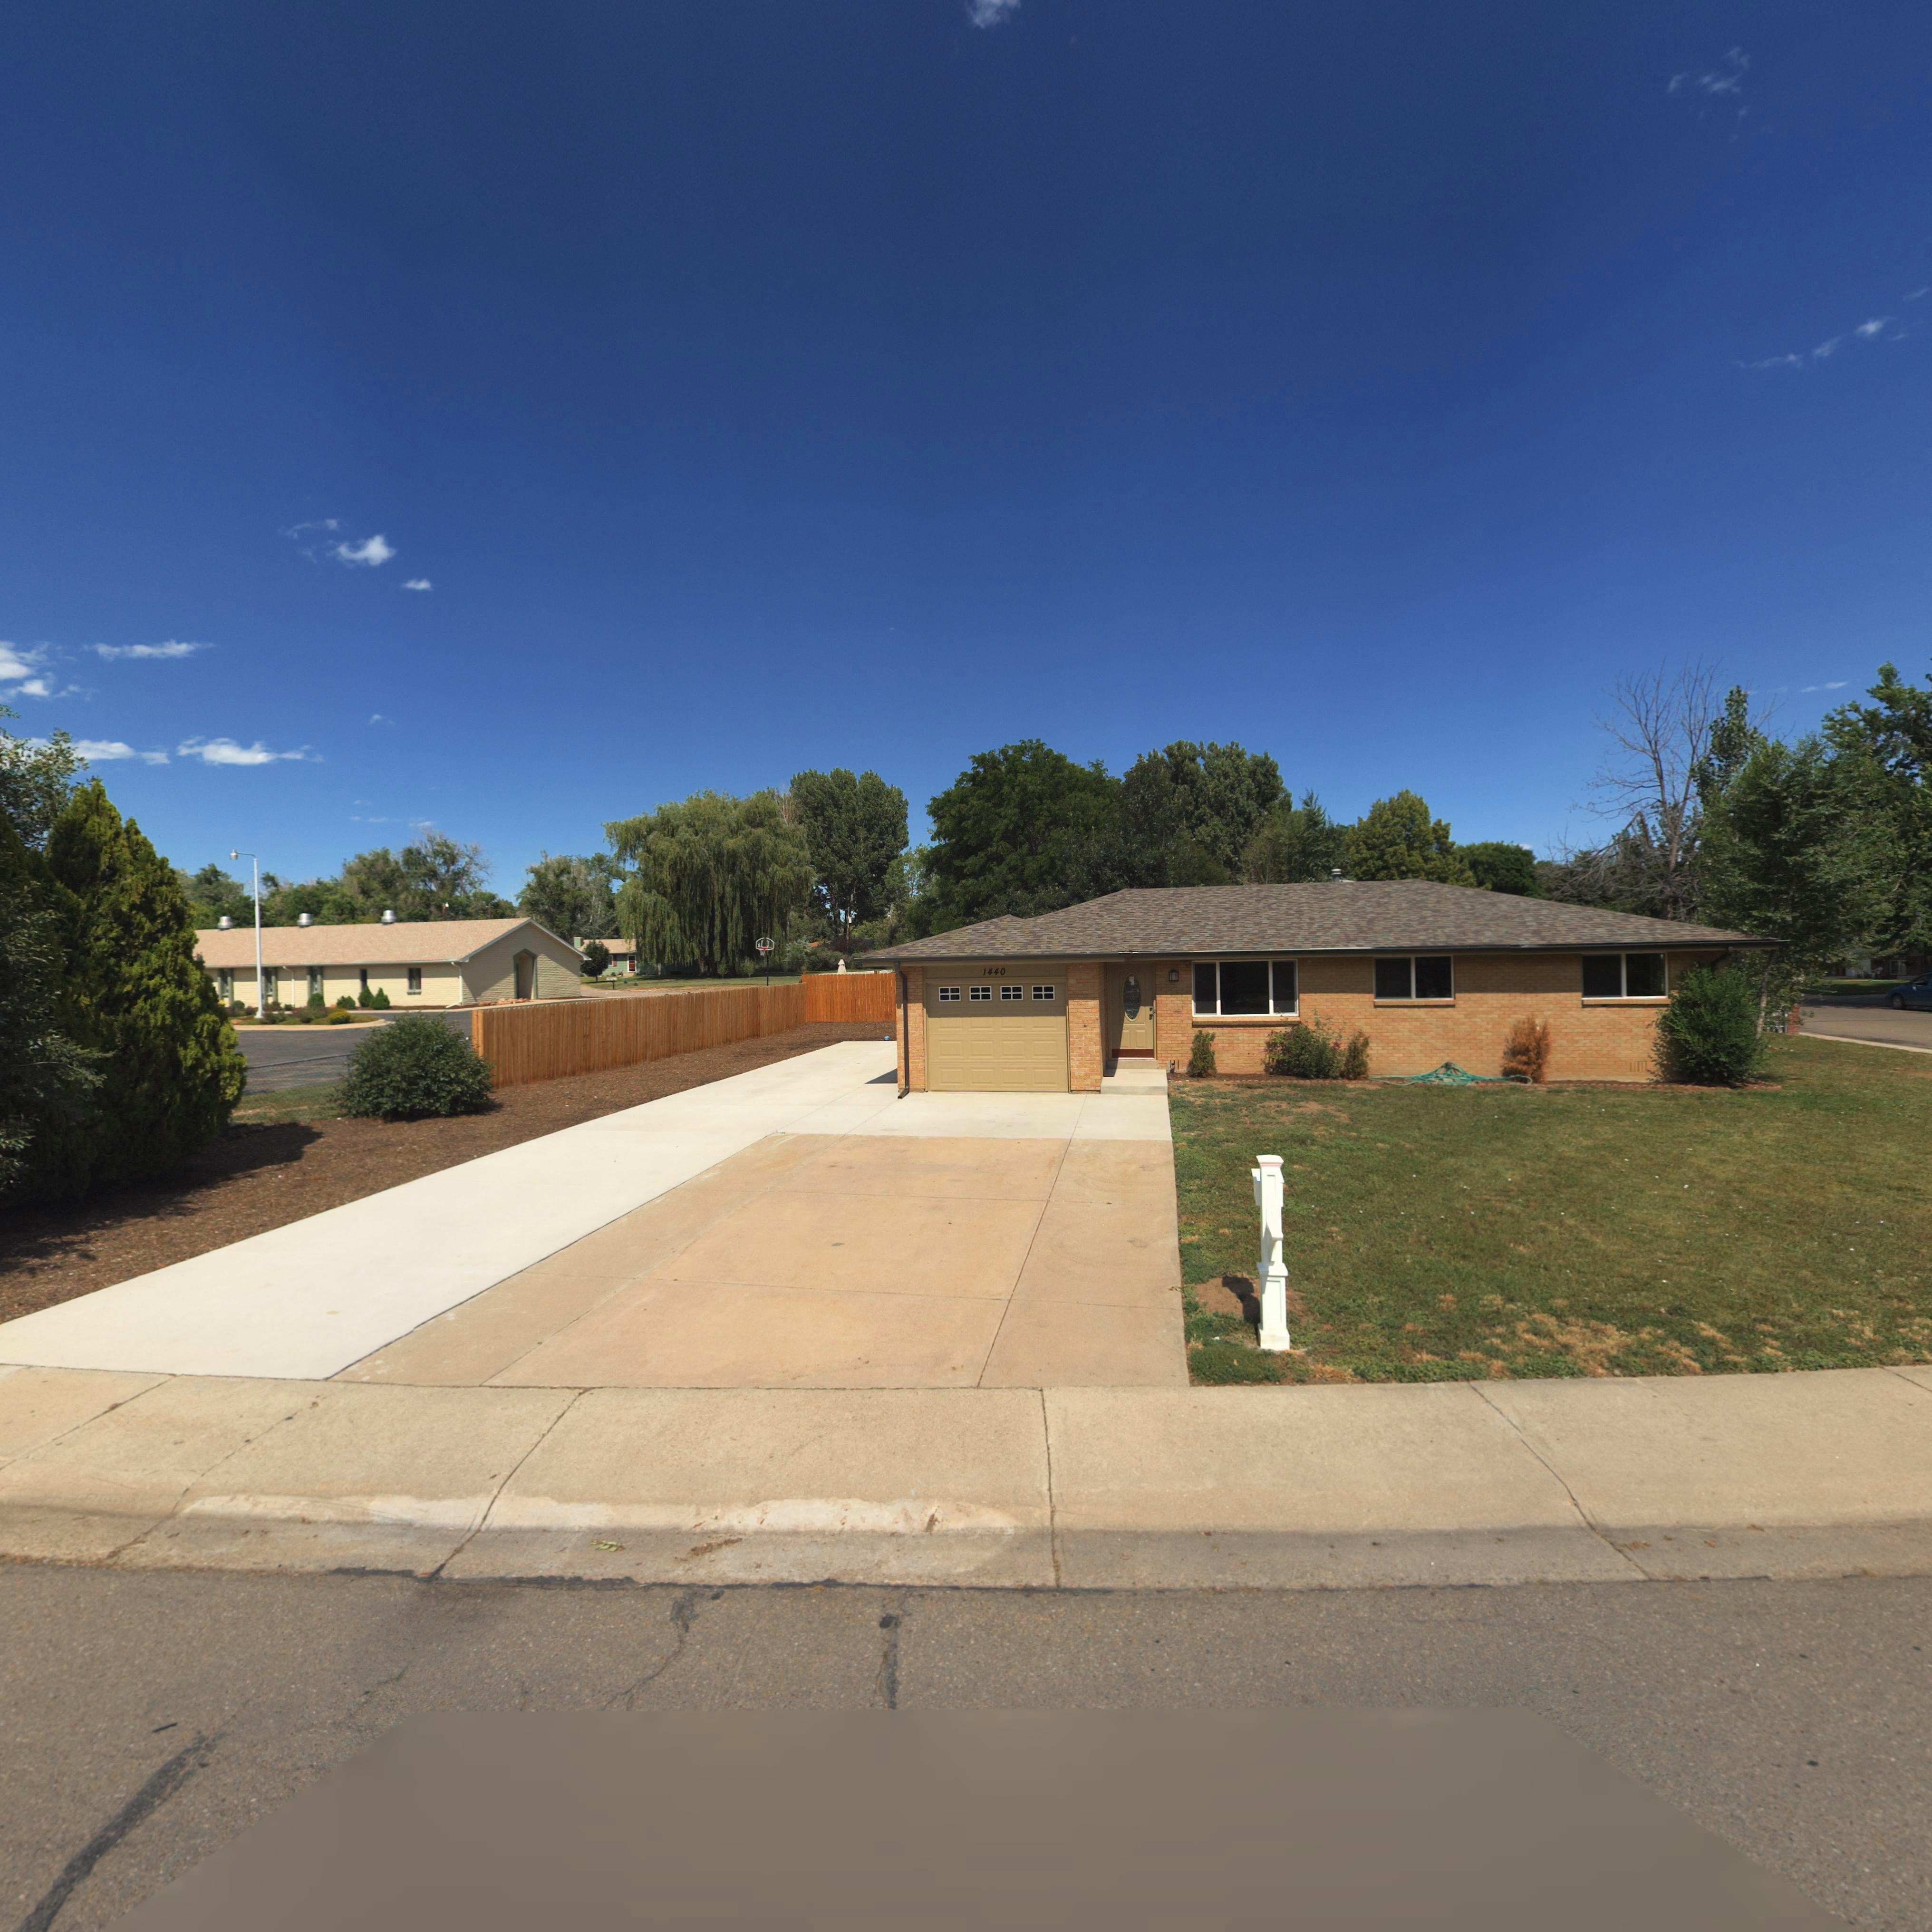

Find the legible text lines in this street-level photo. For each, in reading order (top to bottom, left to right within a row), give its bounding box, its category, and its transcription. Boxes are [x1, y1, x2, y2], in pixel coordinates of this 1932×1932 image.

[981, 967, 1006, 976] StreetNumber: 1440